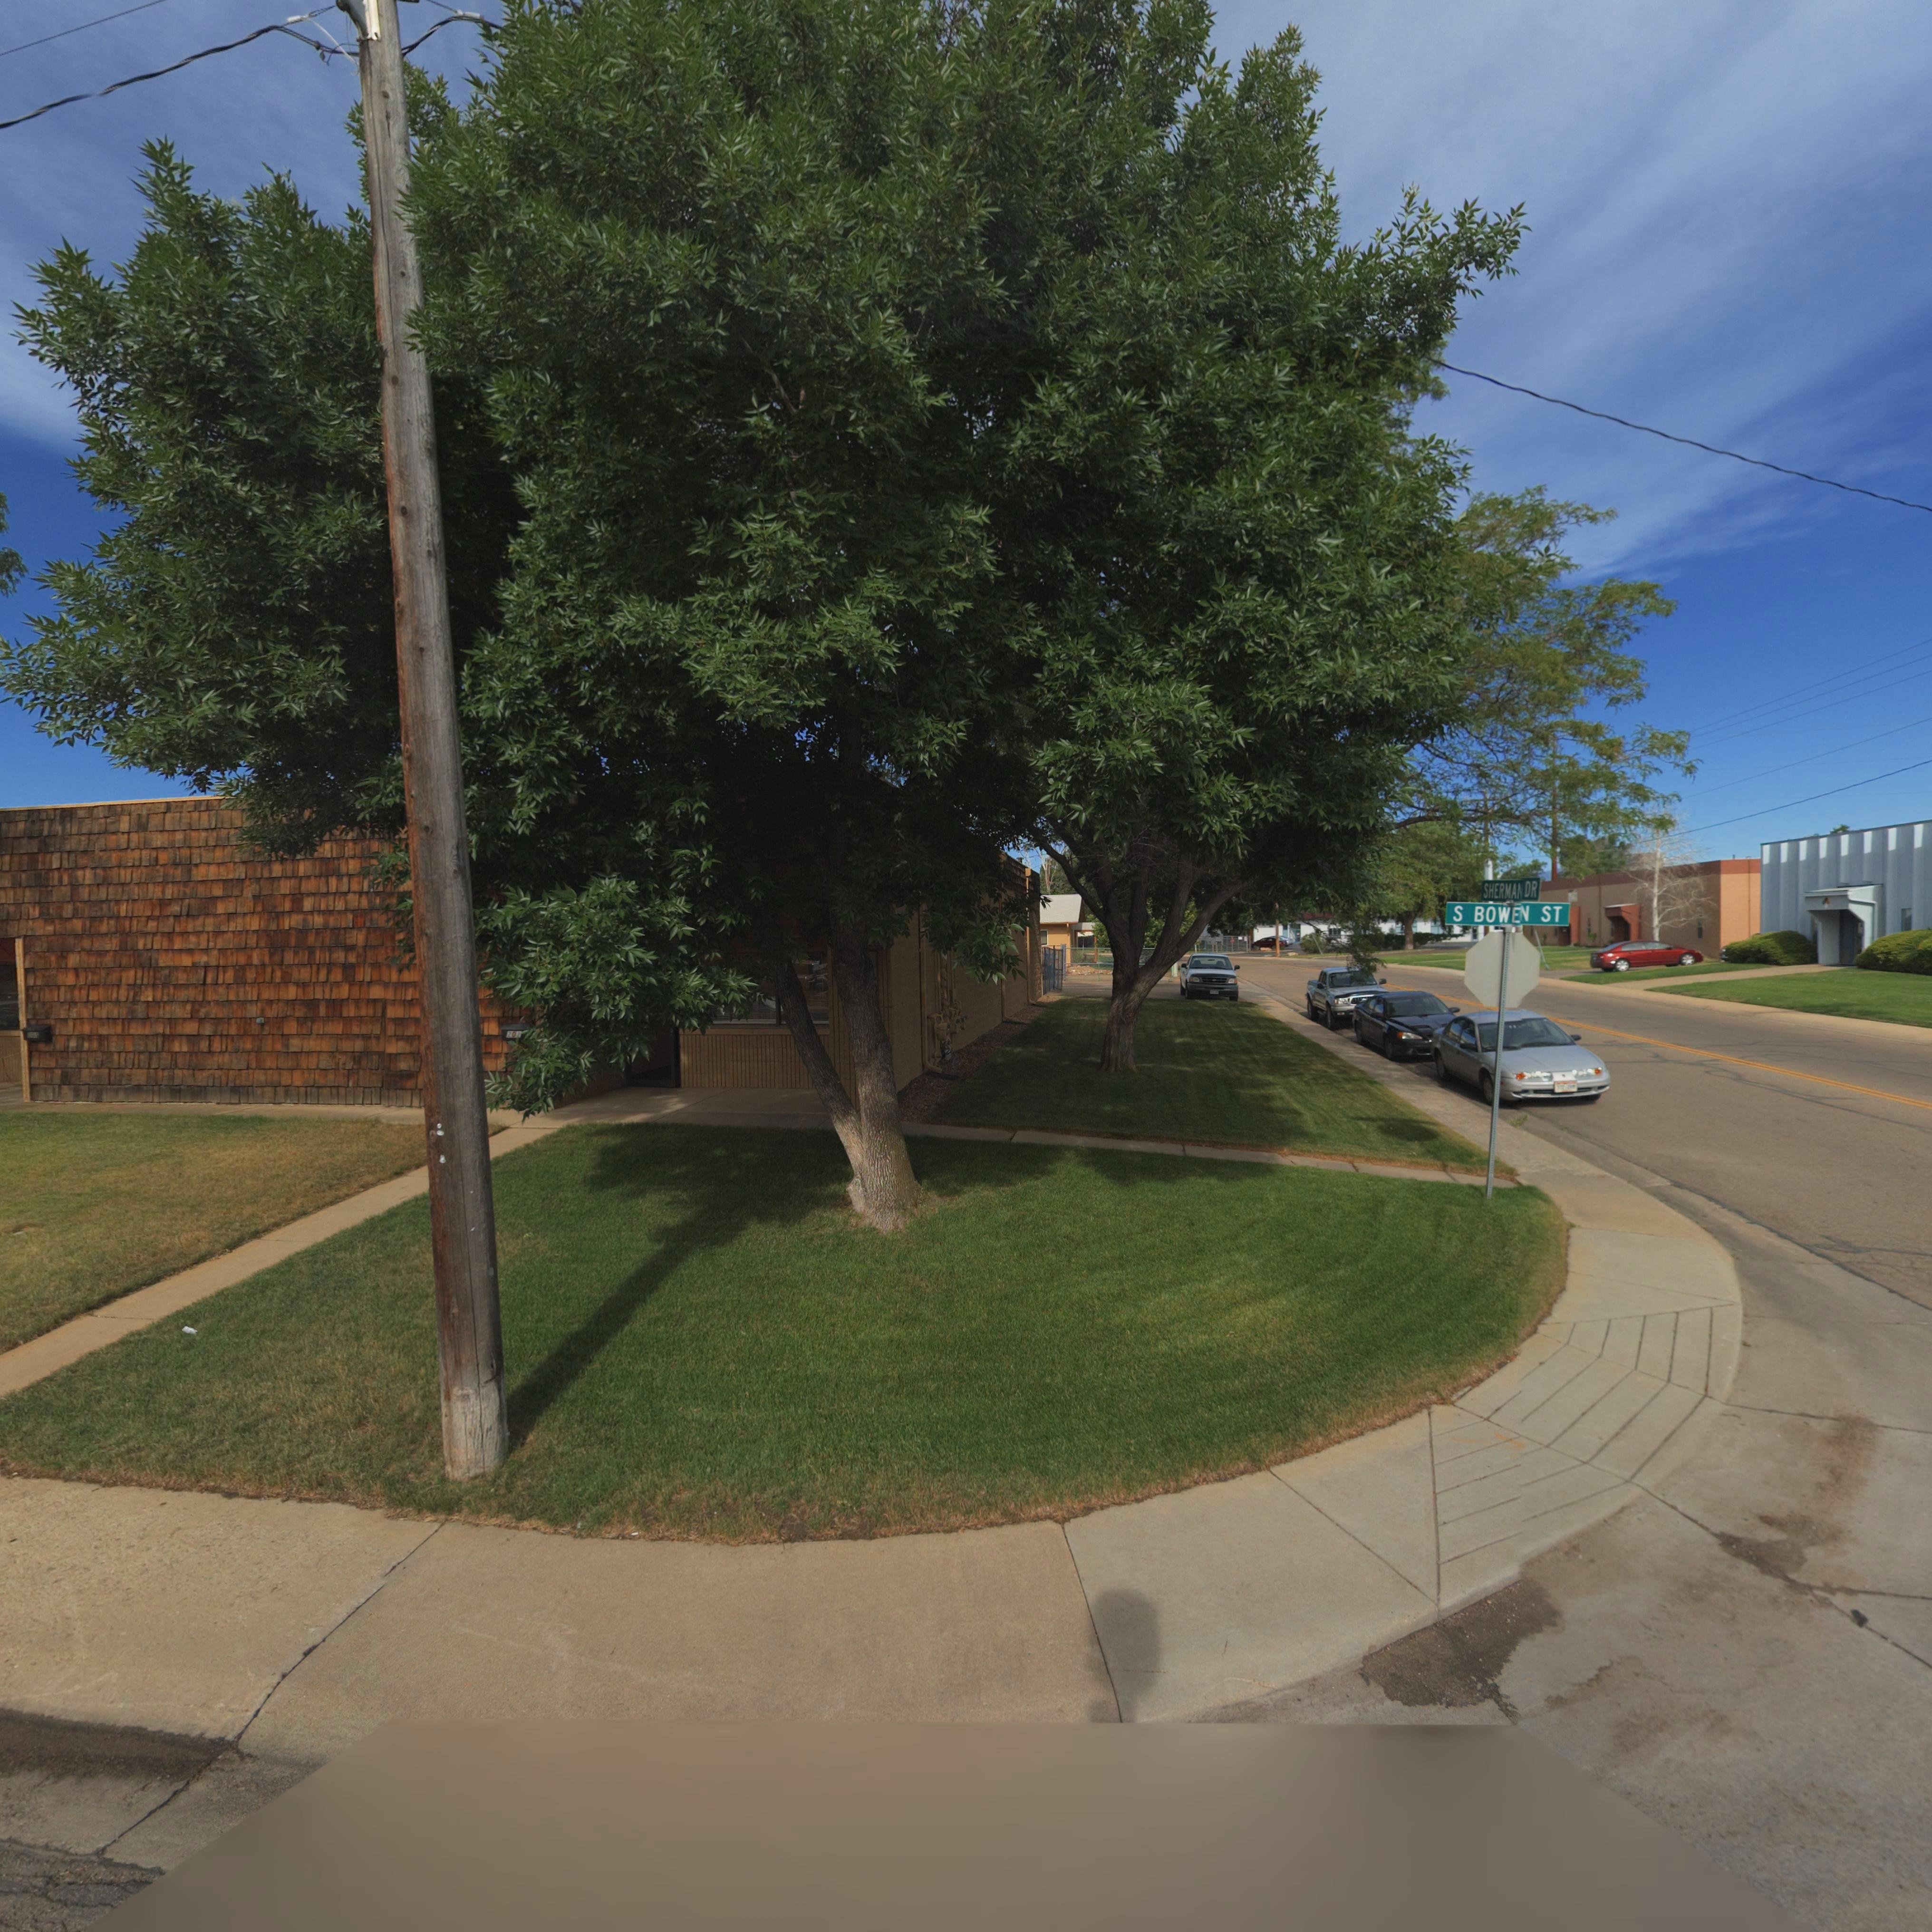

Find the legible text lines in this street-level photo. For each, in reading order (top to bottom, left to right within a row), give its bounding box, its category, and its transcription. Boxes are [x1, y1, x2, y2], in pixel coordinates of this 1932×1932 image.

[1481, 879, 1539, 900] StreetName: SHERMAN DR
[1453, 906, 1562, 922] StreetName: S BOWEN ST
[506, 1031, 521, 1038] StreetNumber: 201